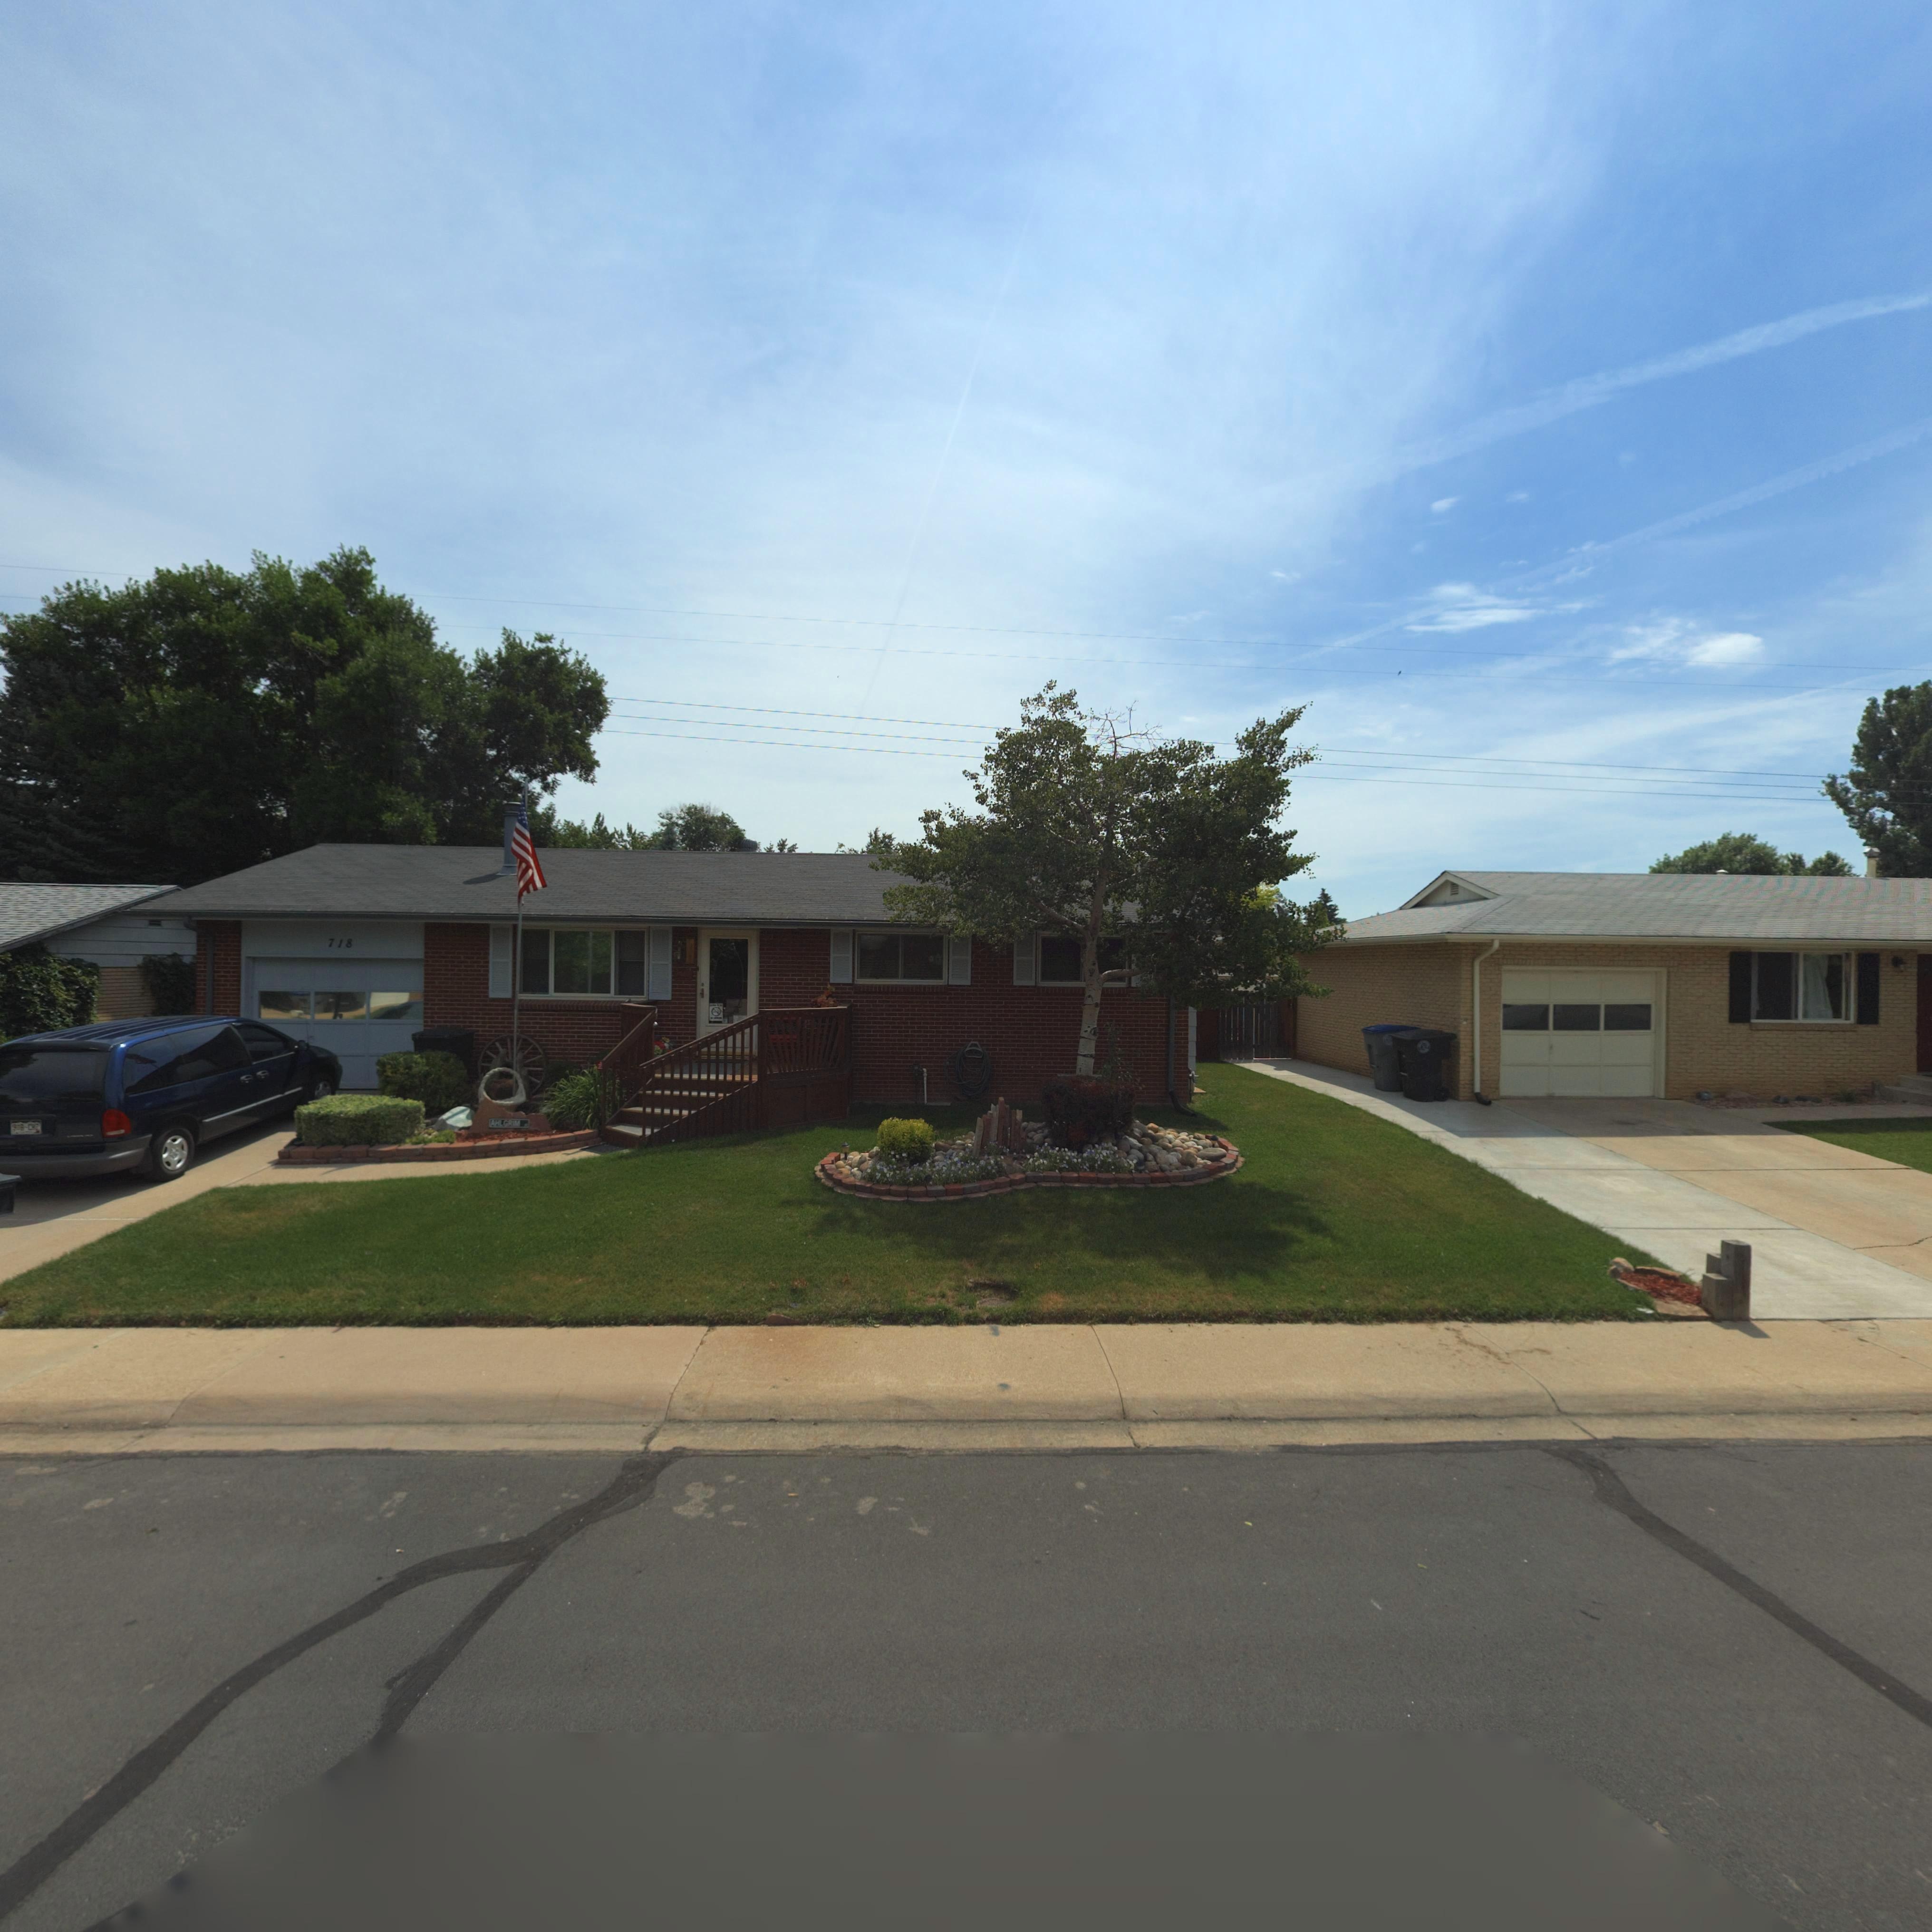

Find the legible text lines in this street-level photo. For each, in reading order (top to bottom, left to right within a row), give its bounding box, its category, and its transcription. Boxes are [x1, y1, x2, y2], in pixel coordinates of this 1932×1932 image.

[327, 937, 353, 948] StreetNumber: 718